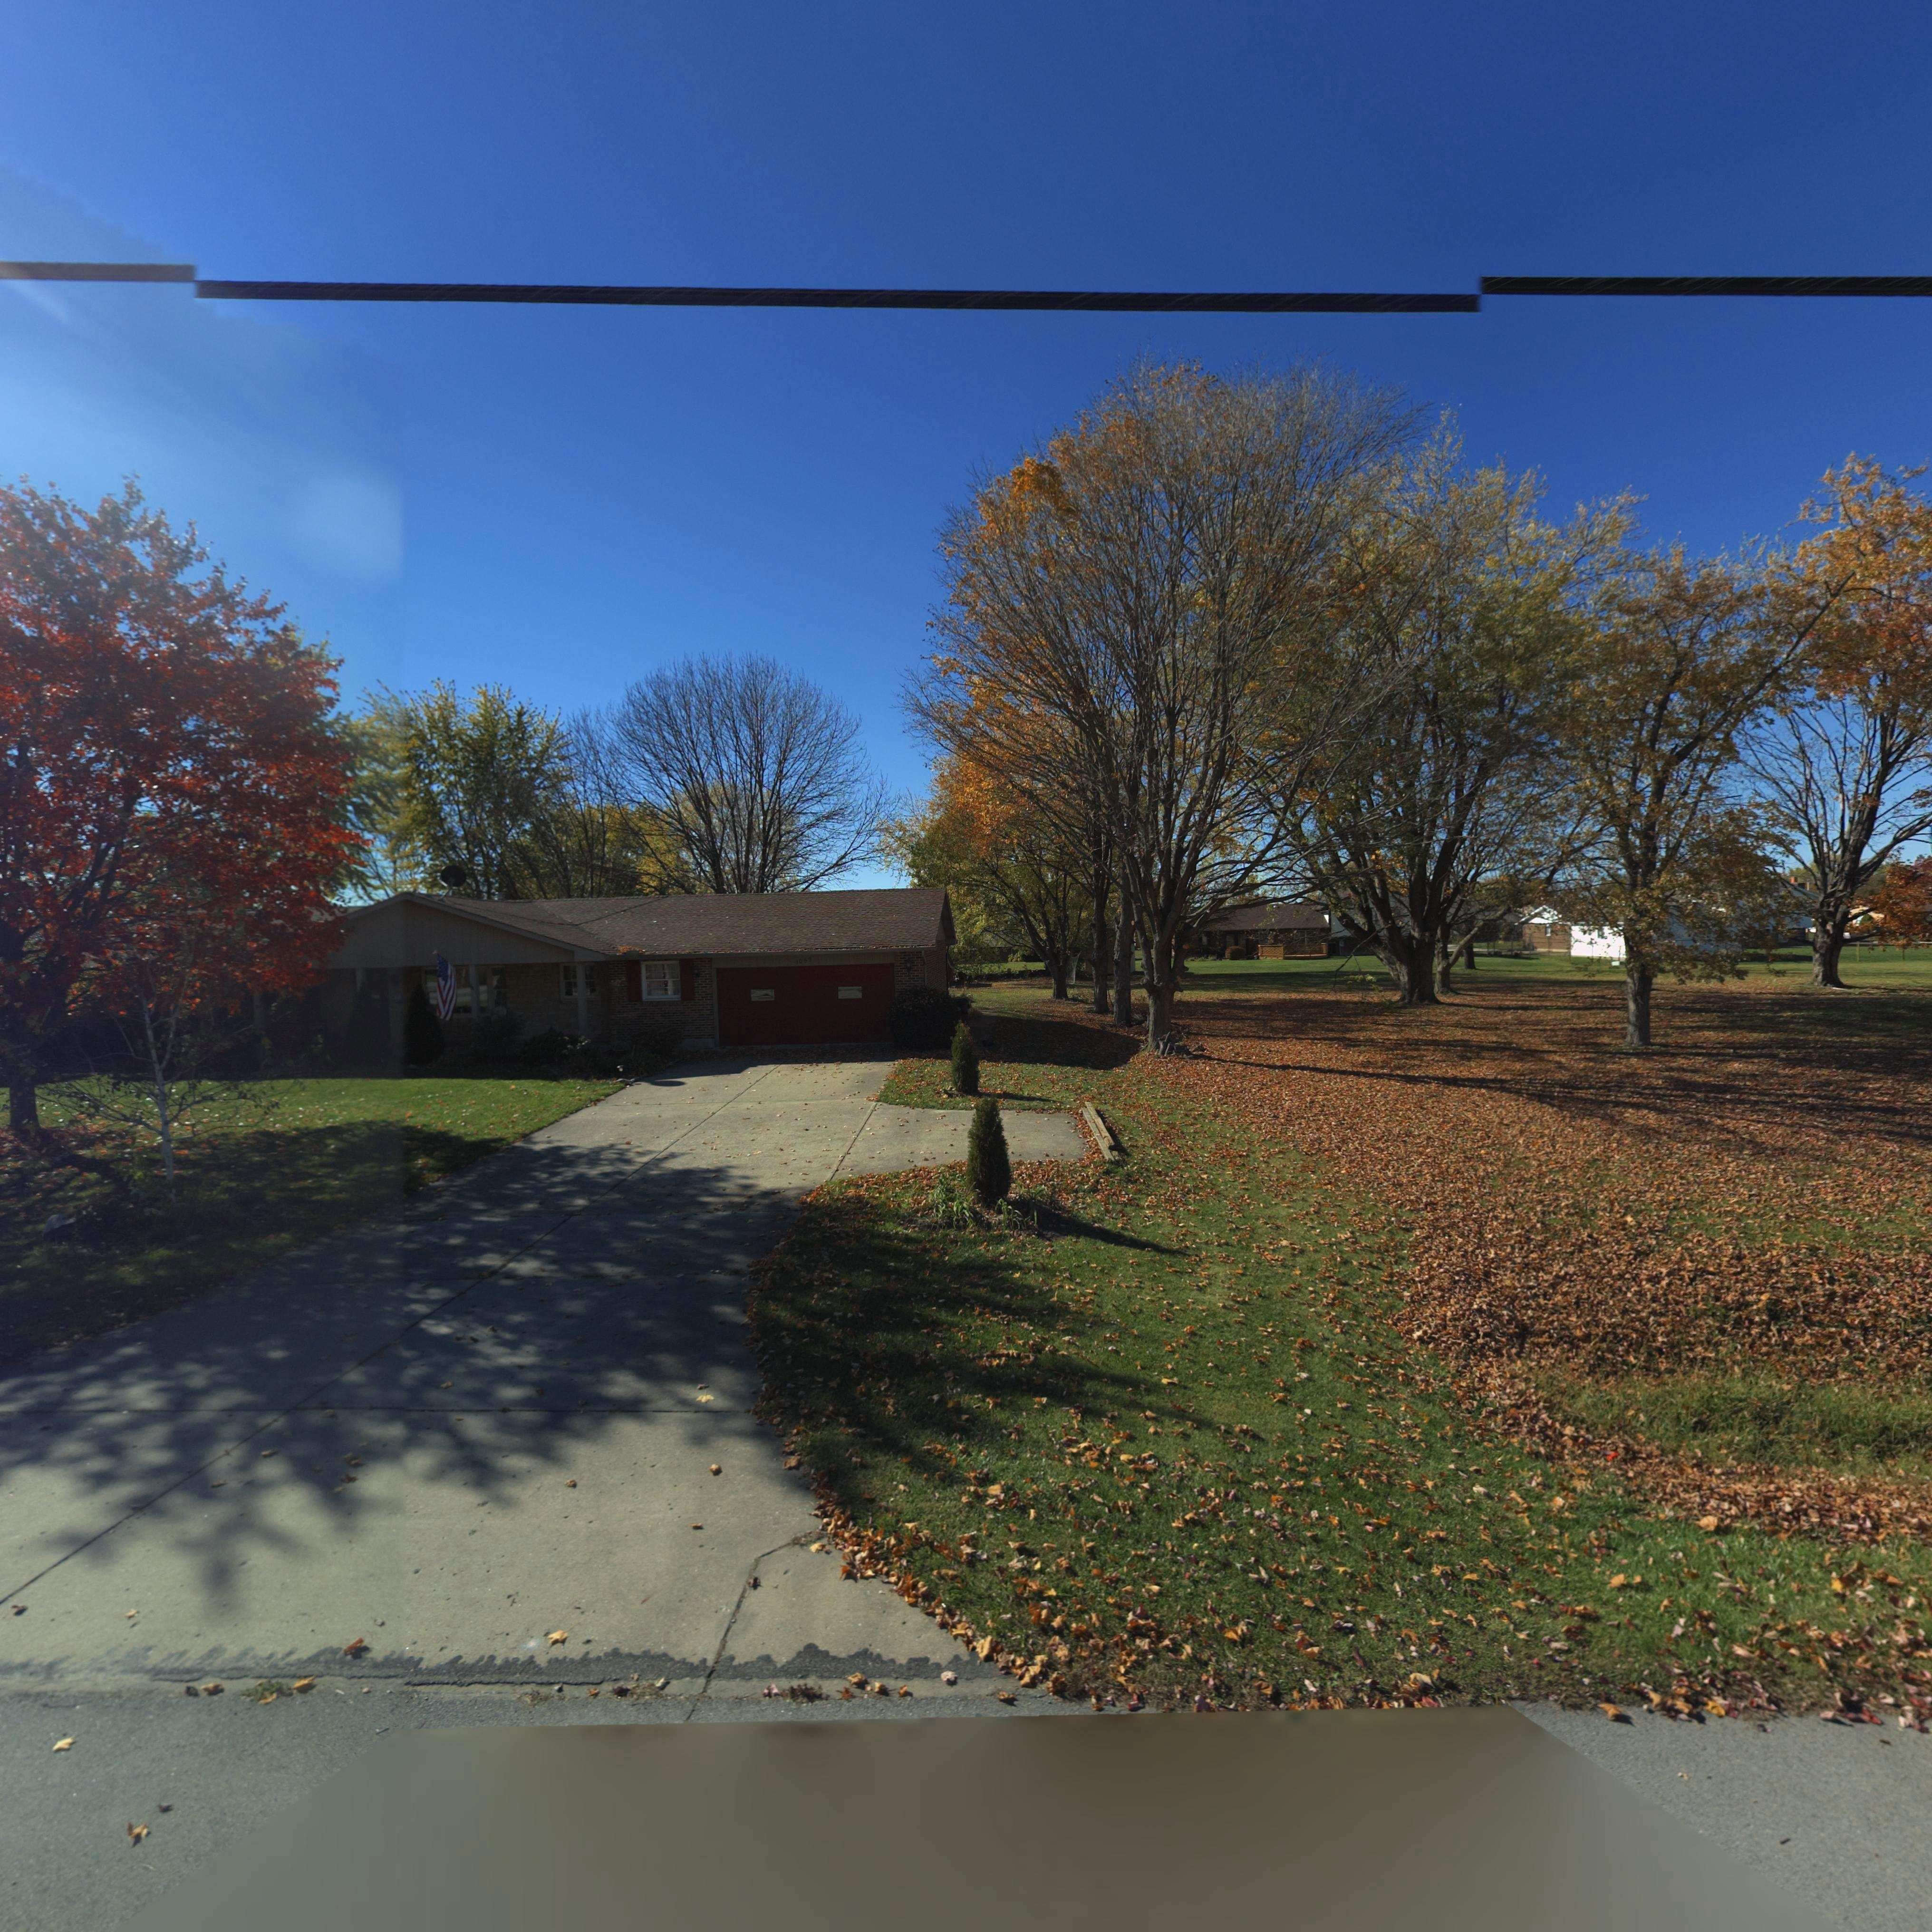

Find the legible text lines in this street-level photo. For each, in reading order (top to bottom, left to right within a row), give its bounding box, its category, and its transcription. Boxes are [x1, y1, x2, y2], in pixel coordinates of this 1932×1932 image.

[795, 956, 813, 966] StreetNumber: 10**